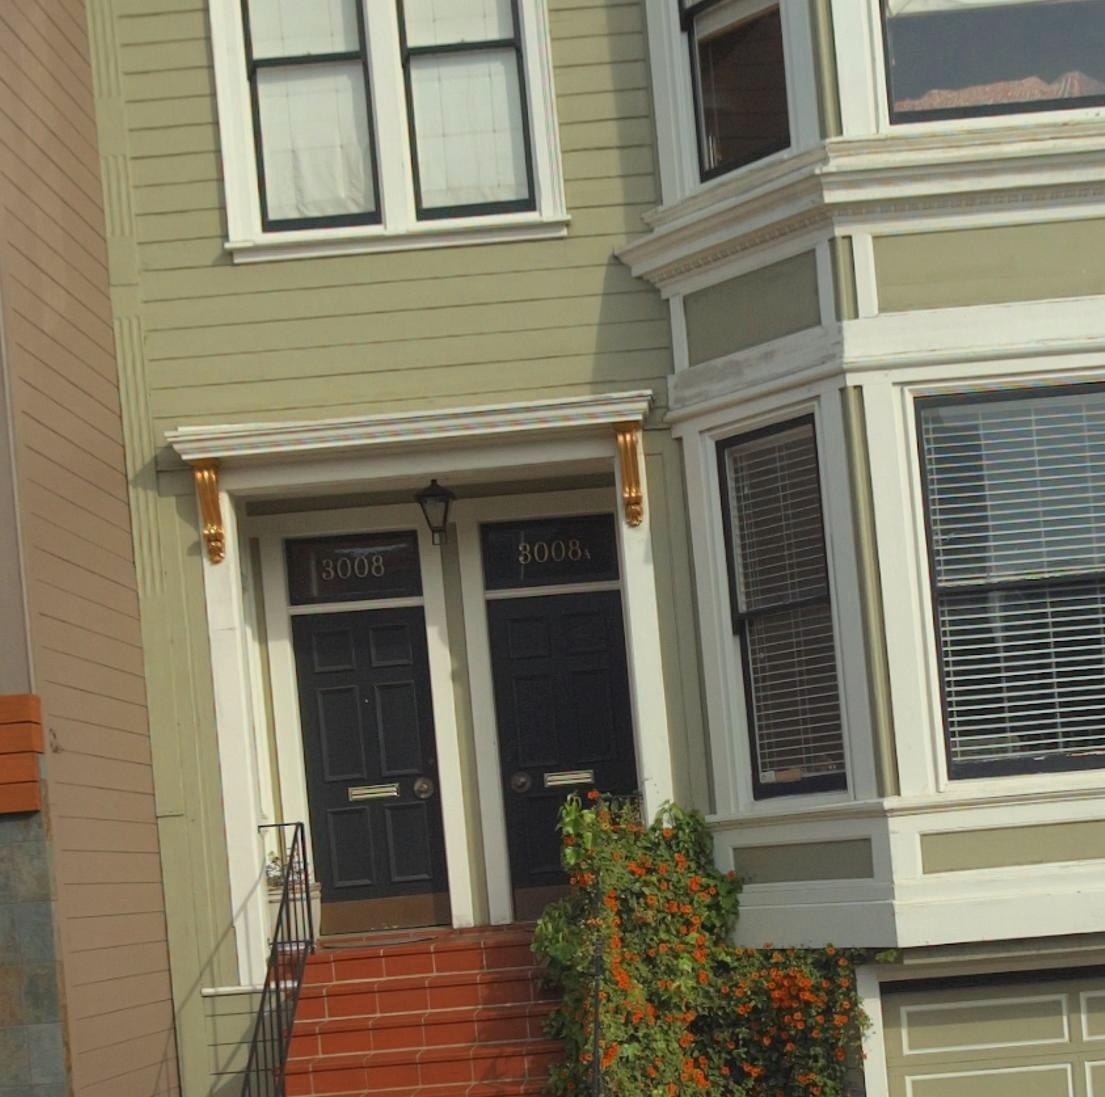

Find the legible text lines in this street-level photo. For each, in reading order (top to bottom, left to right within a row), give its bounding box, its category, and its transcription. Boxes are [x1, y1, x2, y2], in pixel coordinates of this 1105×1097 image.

[319, 552, 388, 583] StreetNumber: 3008
[516, 536, 583, 568] StreetNumber: 3008
[579, 547, 594, 562] StreetNumber: A